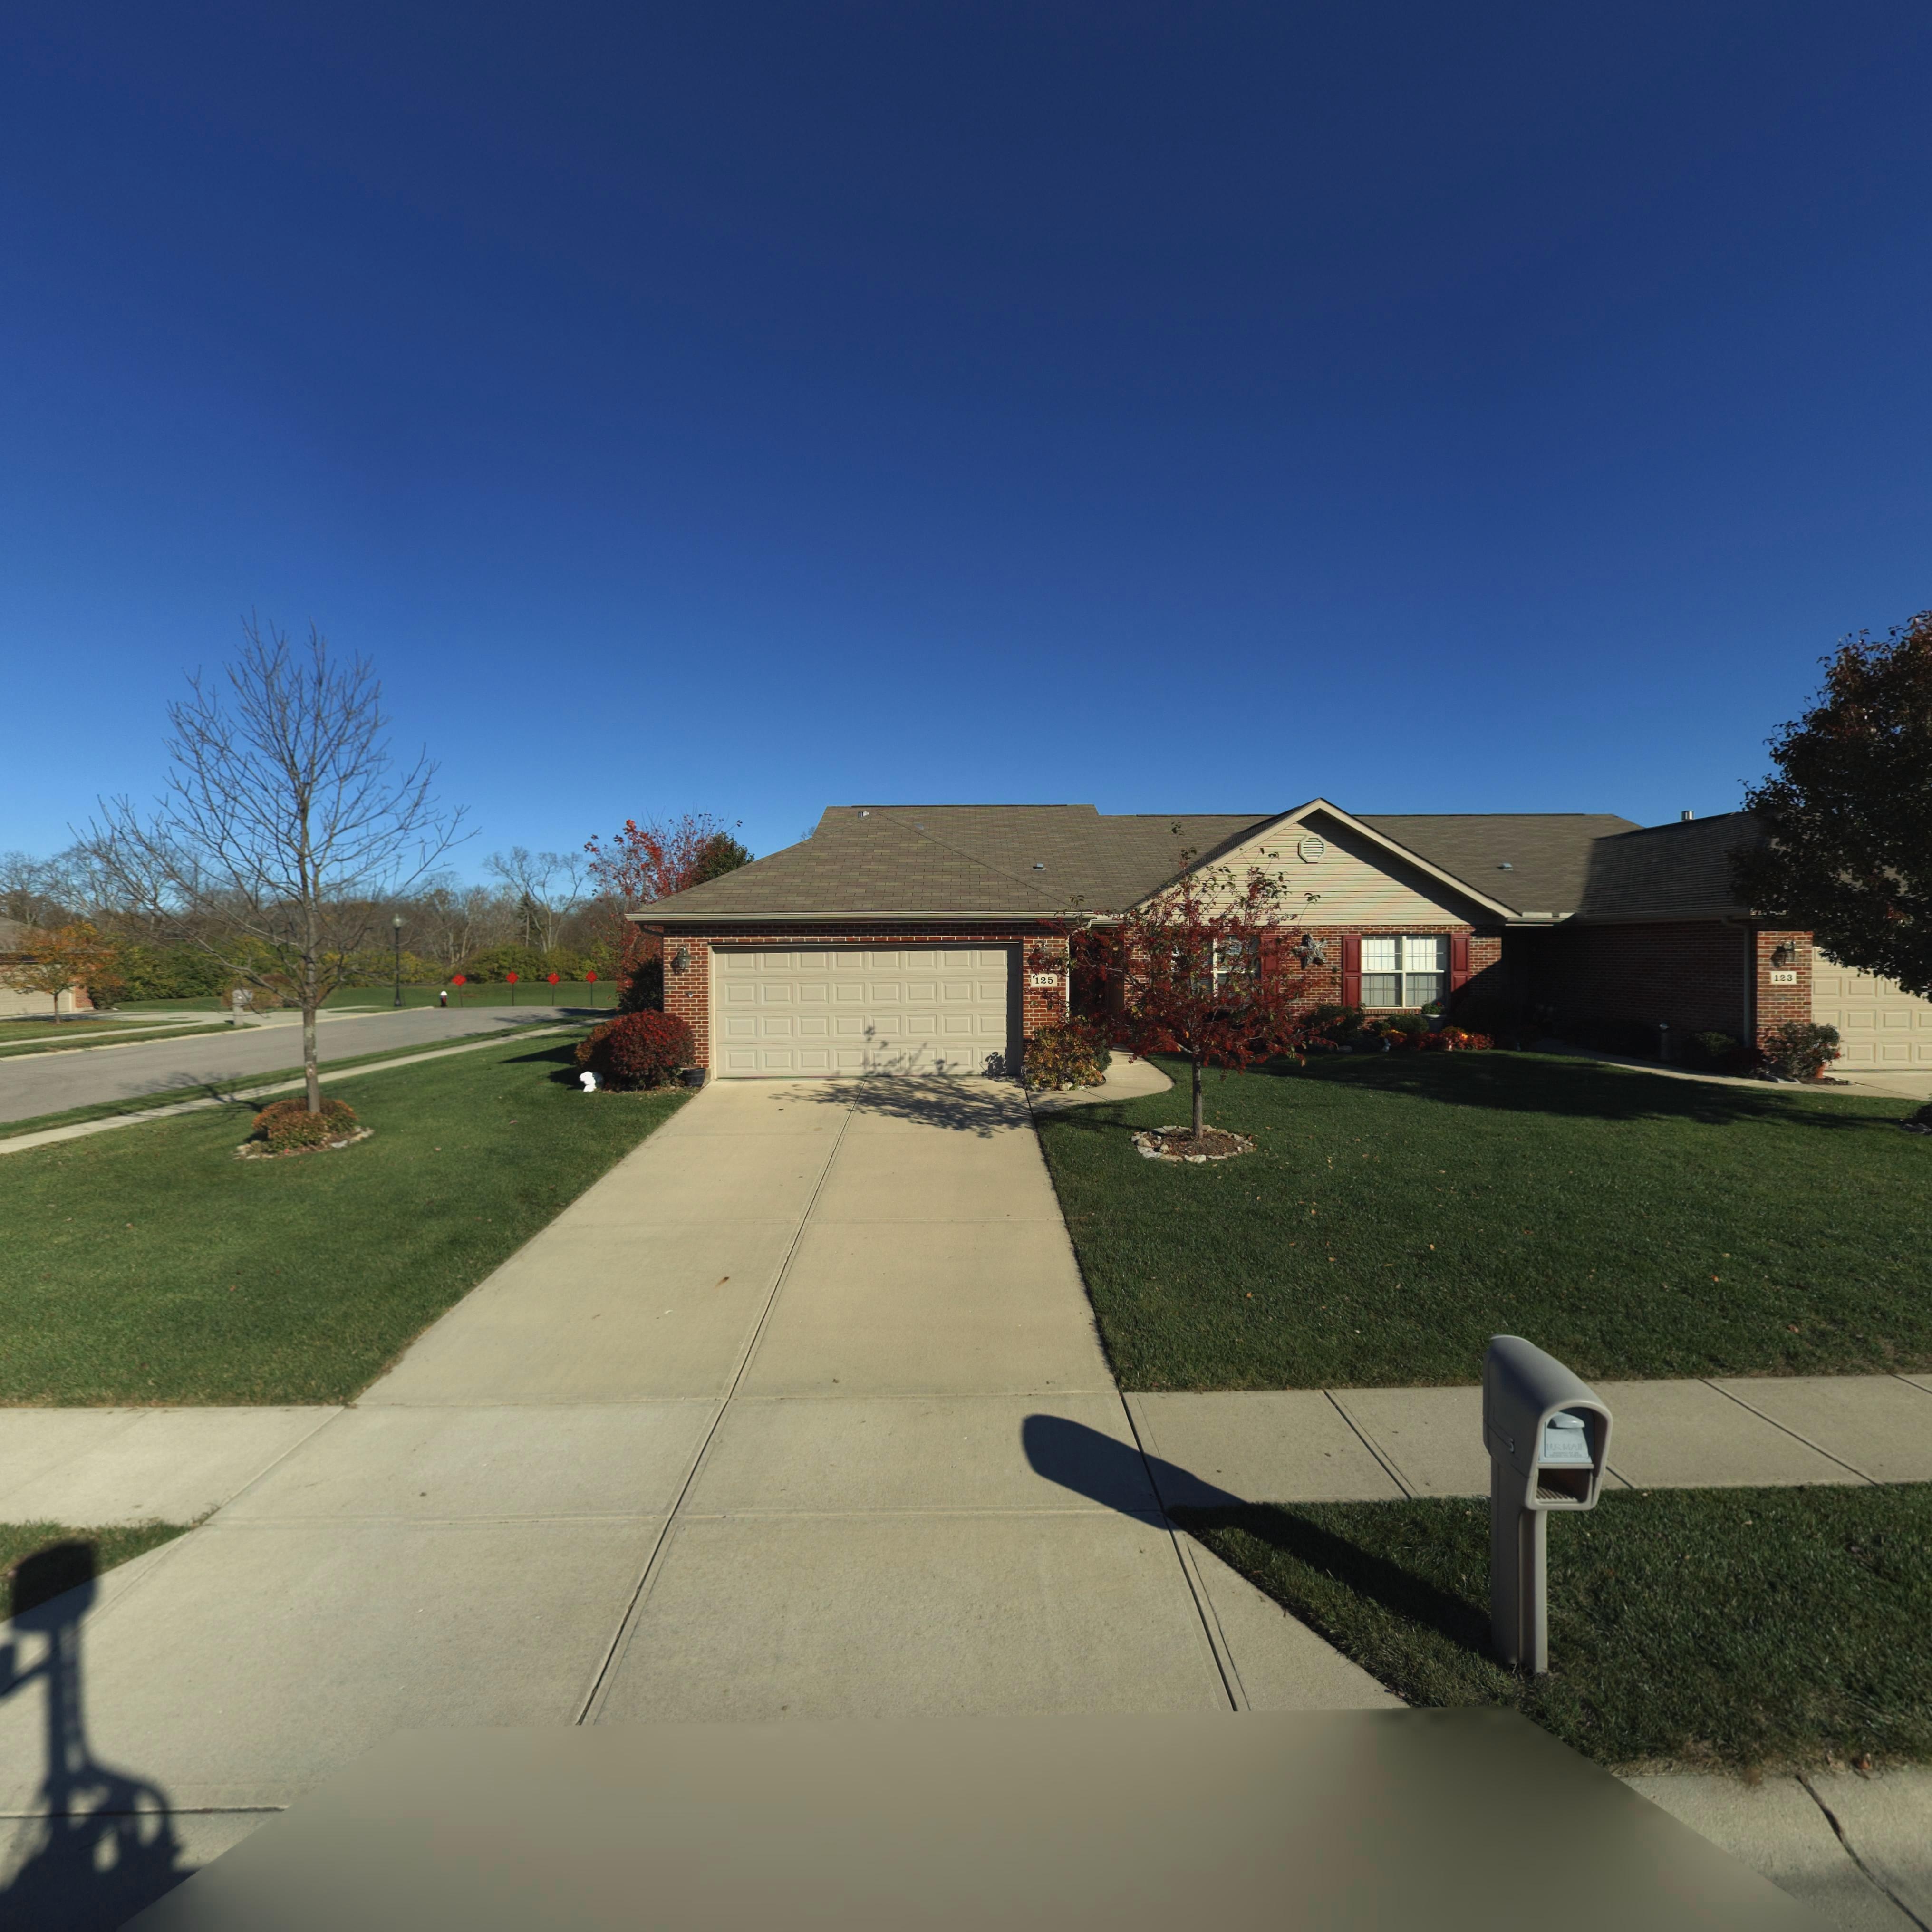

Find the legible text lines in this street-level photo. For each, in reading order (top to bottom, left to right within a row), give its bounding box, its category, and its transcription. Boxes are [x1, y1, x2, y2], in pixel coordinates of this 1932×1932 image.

[1034, 976, 1054, 985] StreetNumber: 125